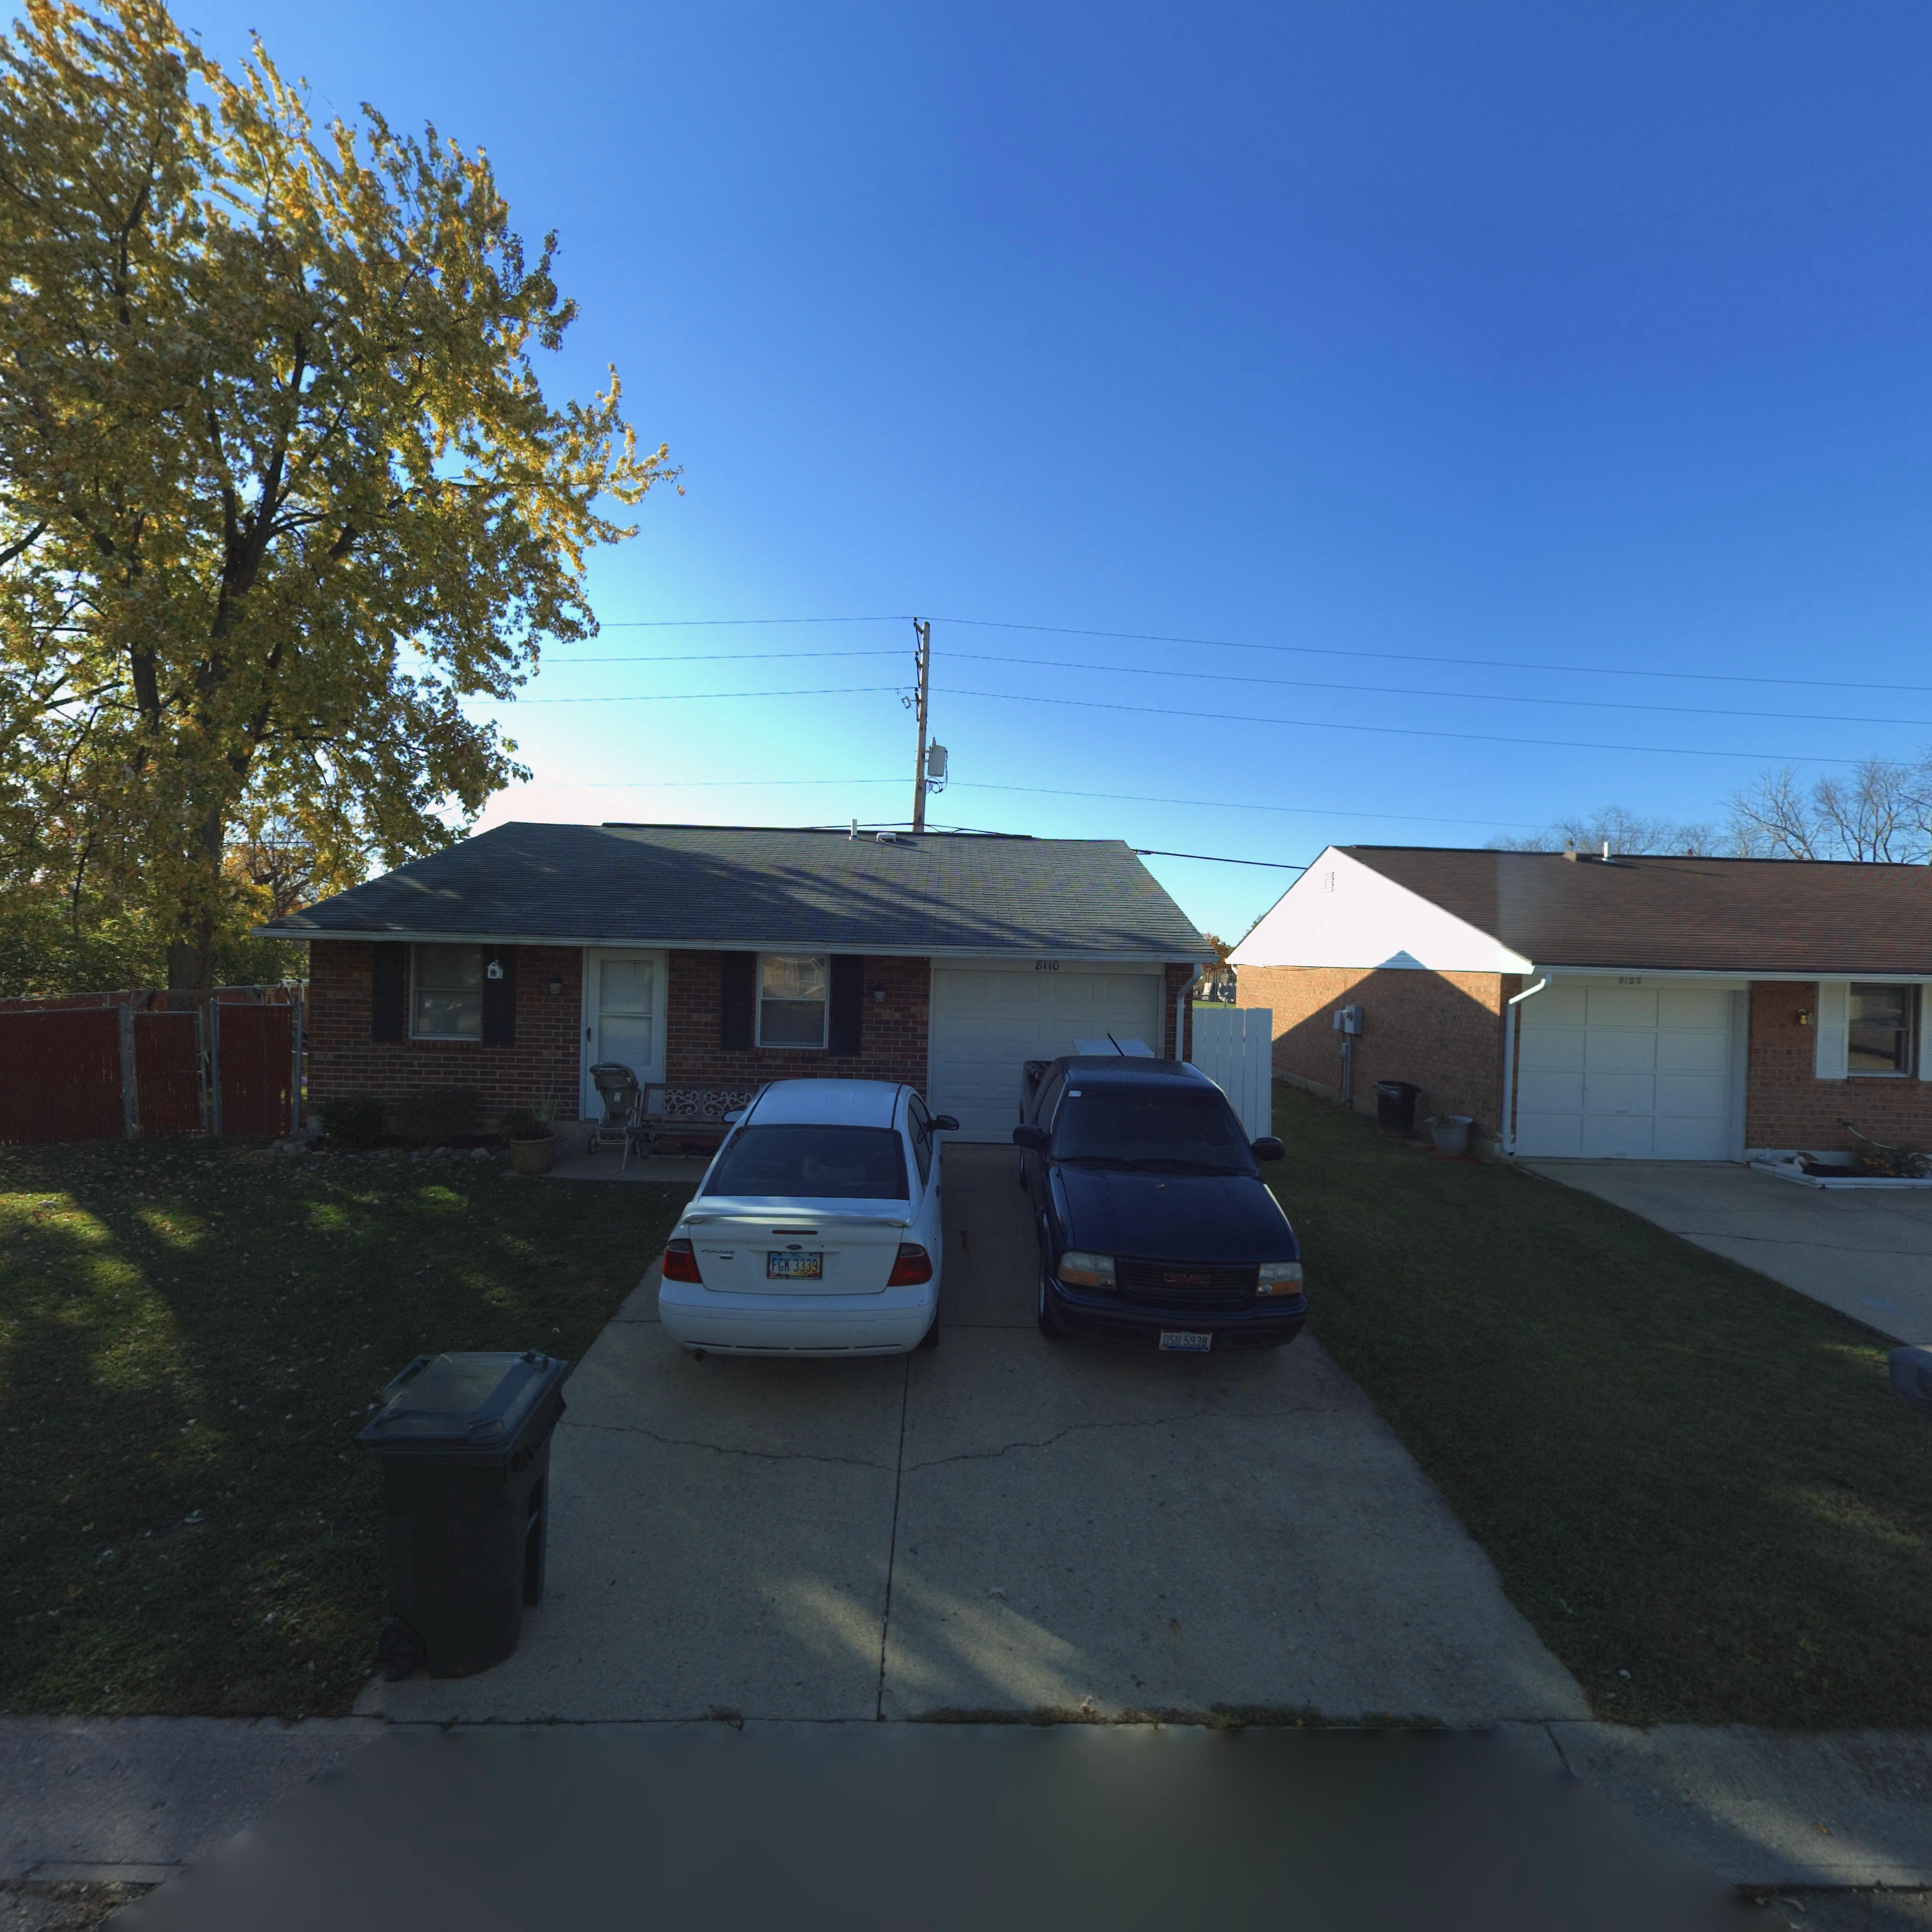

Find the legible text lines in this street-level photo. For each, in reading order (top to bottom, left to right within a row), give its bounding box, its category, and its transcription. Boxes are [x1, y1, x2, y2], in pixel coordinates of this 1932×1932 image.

[1034, 959, 1061, 971] StreetNumber: 8110
[1617, 976, 1642, 986] StreetNumber: 8102